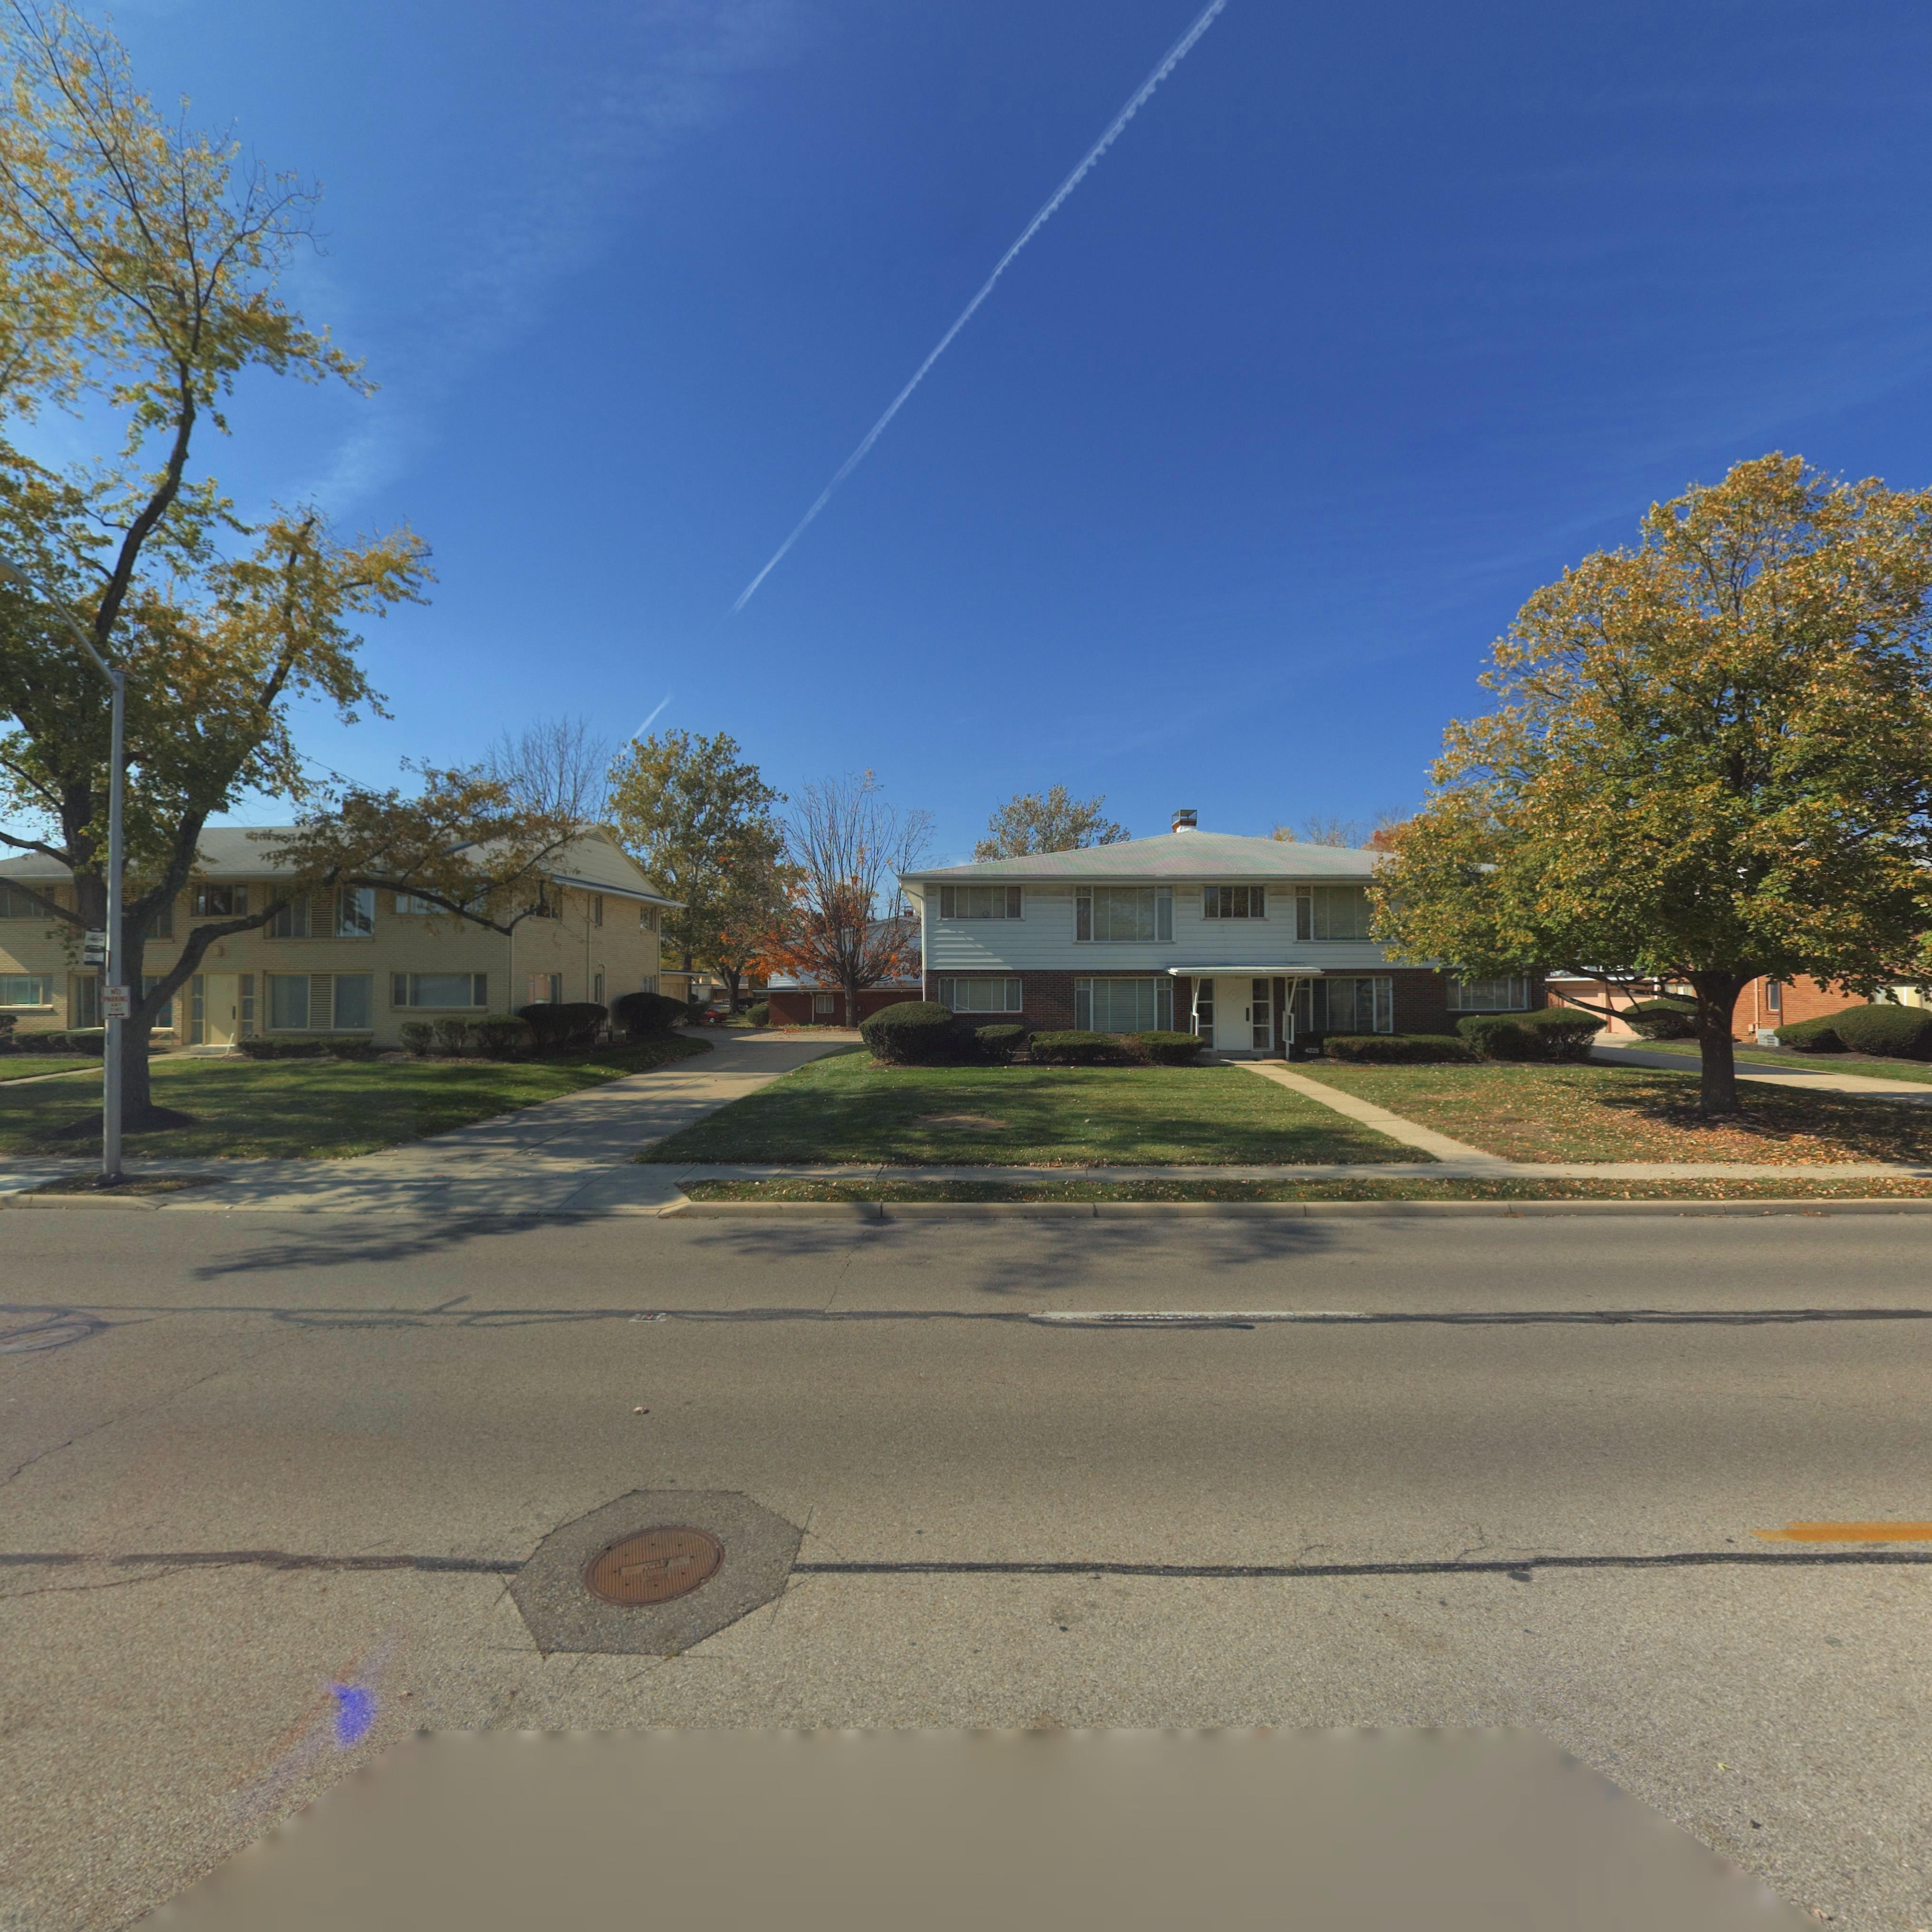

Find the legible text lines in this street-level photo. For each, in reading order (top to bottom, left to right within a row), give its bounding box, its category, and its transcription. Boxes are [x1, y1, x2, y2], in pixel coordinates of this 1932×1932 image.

[110, 988, 121, 995] None: NO
[103, 995, 128, 1003] None: PARKING
[1304, 1048, 1320, 1054] StreetNumber: 4225